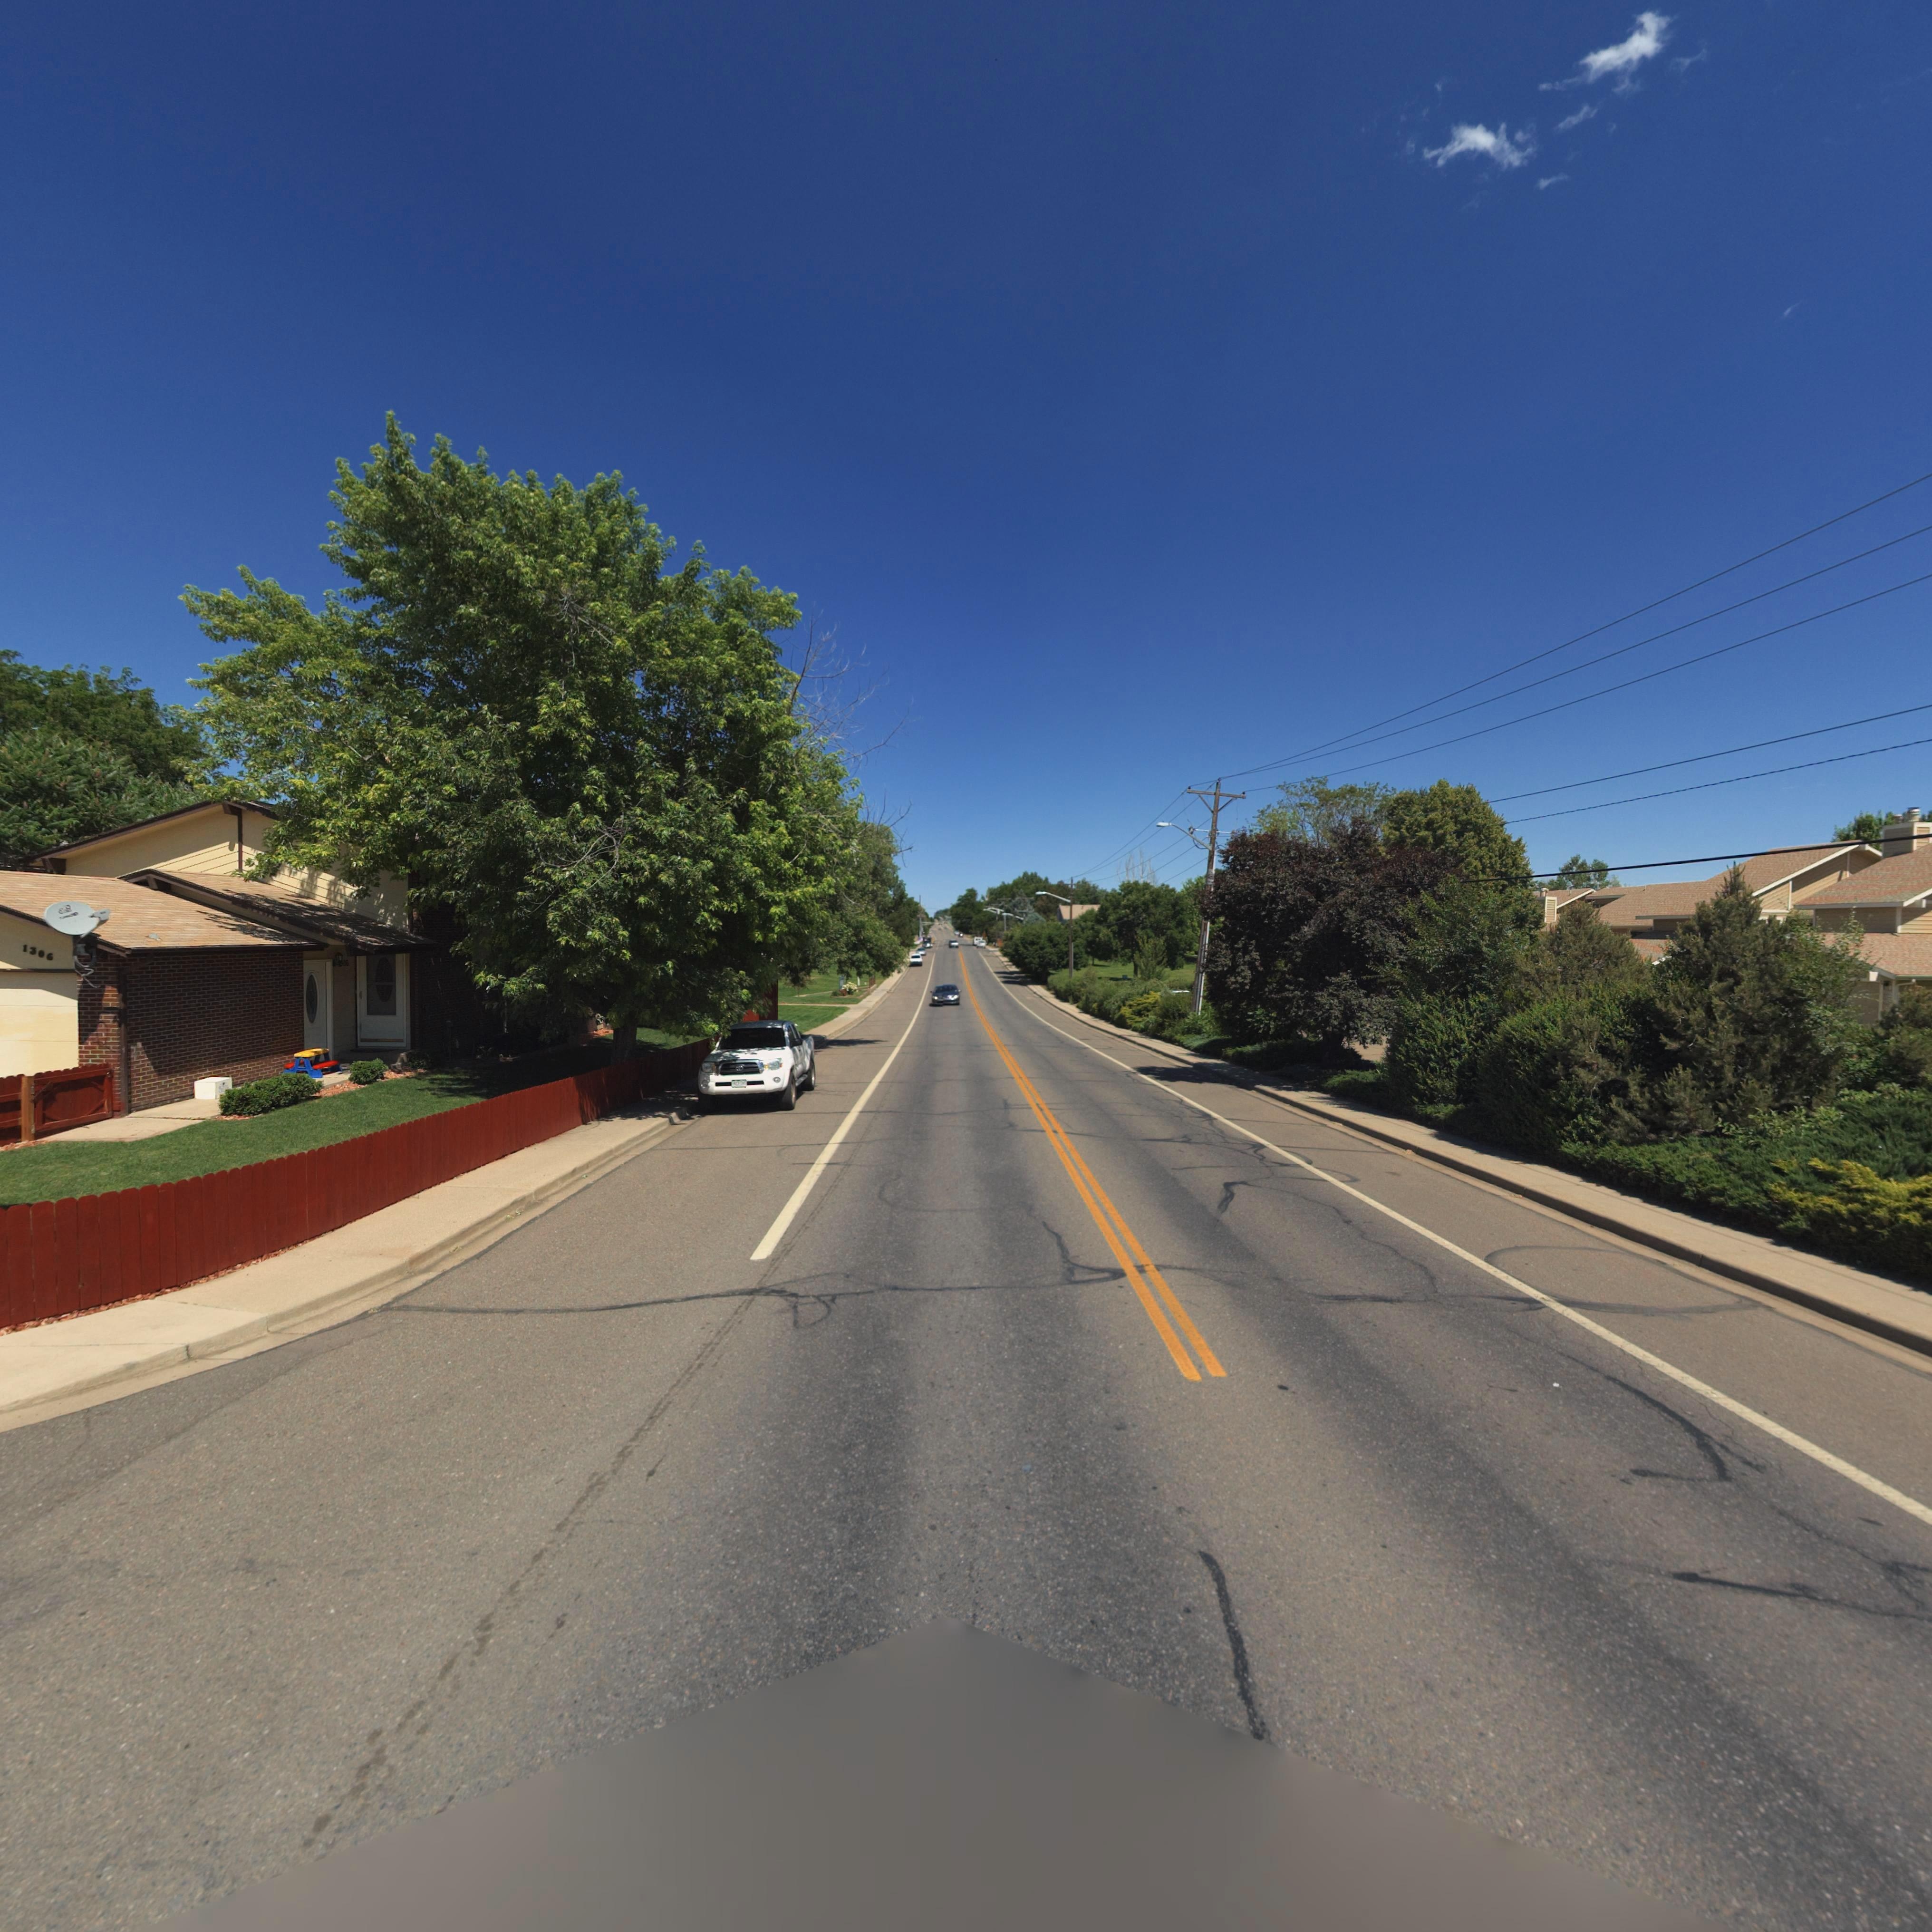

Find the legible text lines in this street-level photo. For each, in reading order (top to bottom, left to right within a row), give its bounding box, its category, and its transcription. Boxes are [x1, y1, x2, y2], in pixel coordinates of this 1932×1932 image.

[21, 944, 54, 961] StreetNumber: 1306
[342, 959, 349, 966] StreetNumber: 06